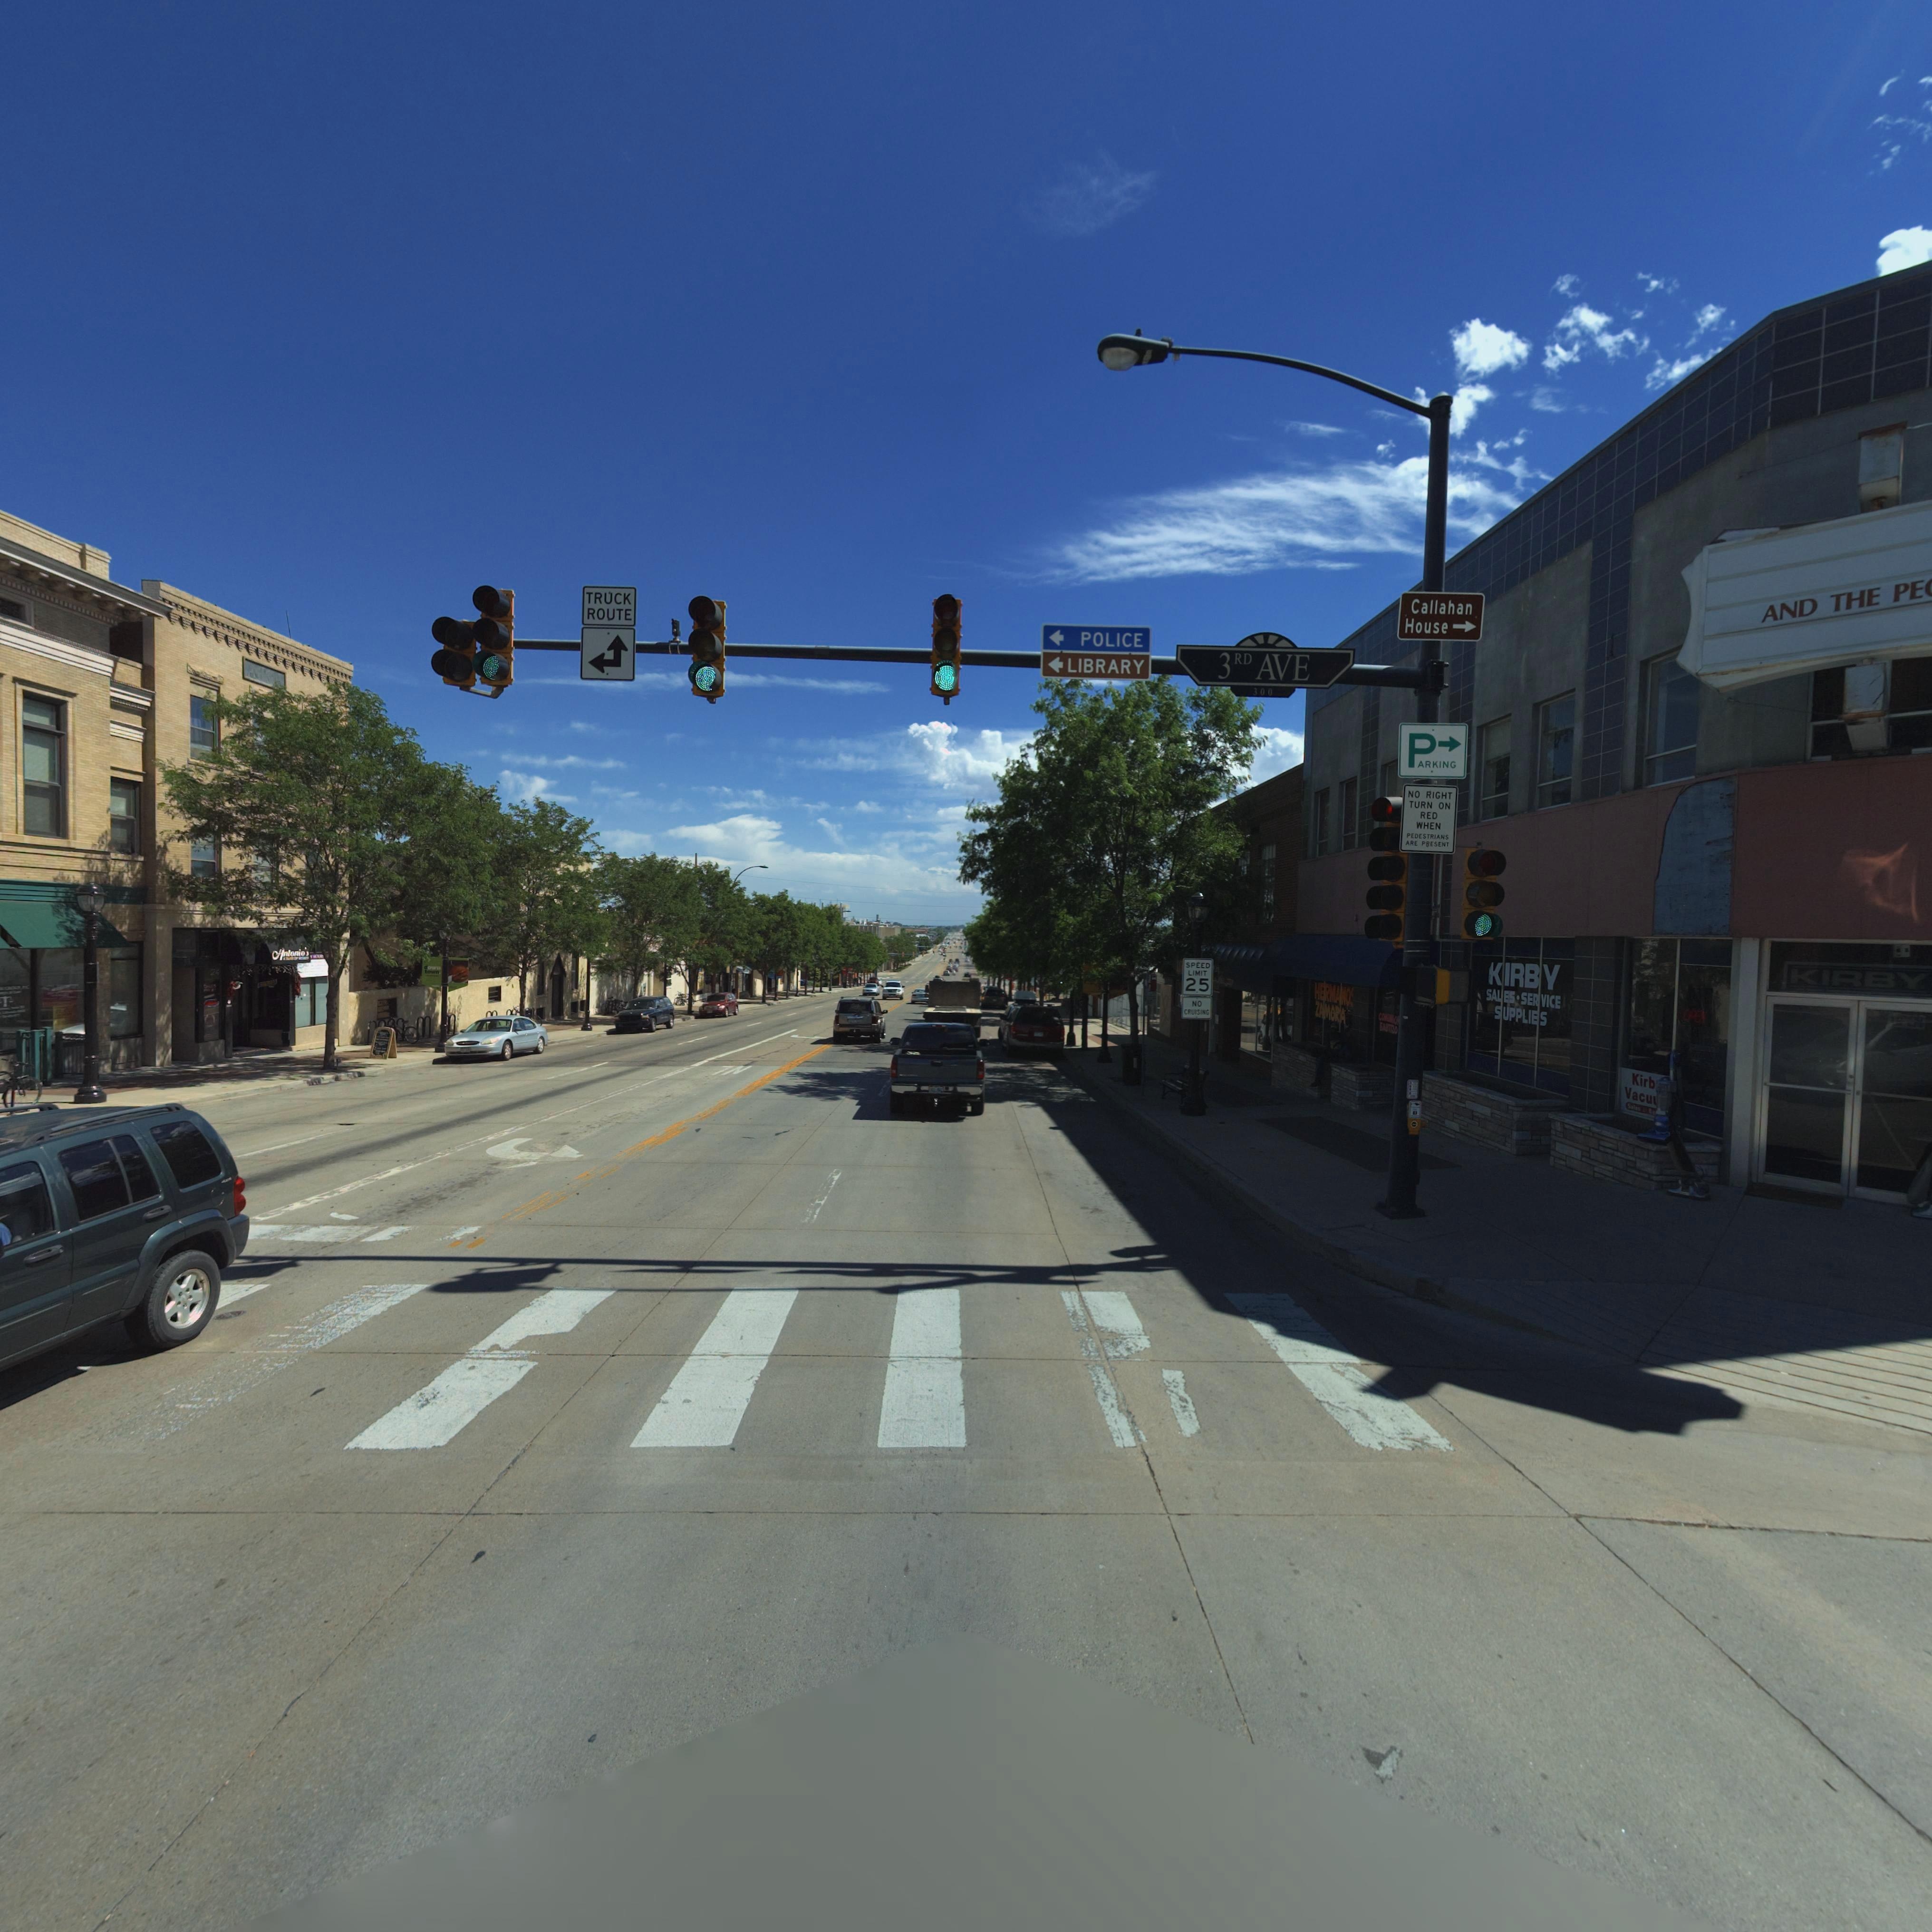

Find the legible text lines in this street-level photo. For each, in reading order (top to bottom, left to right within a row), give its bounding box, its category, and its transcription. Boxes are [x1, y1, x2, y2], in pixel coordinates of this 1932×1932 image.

[1217, 651, 1311, 681] StreetName: 3RD AVE
[1252, 687, 1273, 696] StreetNumberRange: 300
[271, 947, 309, 961] BusinessName: Antonio's
[210, 968, 220, 976] StreetNumber: 24
[1488, 961, 1561, 991] BusinessName: KIRBY
[1789, 967, 1929, 990] BusinessName: KIRBY
[1314, 981, 1353, 1008] BusinessName: HERMANOS
[1313, 1000, 1346, 1024] BusinessName: ZAMORA
[1631, 1072, 1655, 1090] BusinessName: Kirb